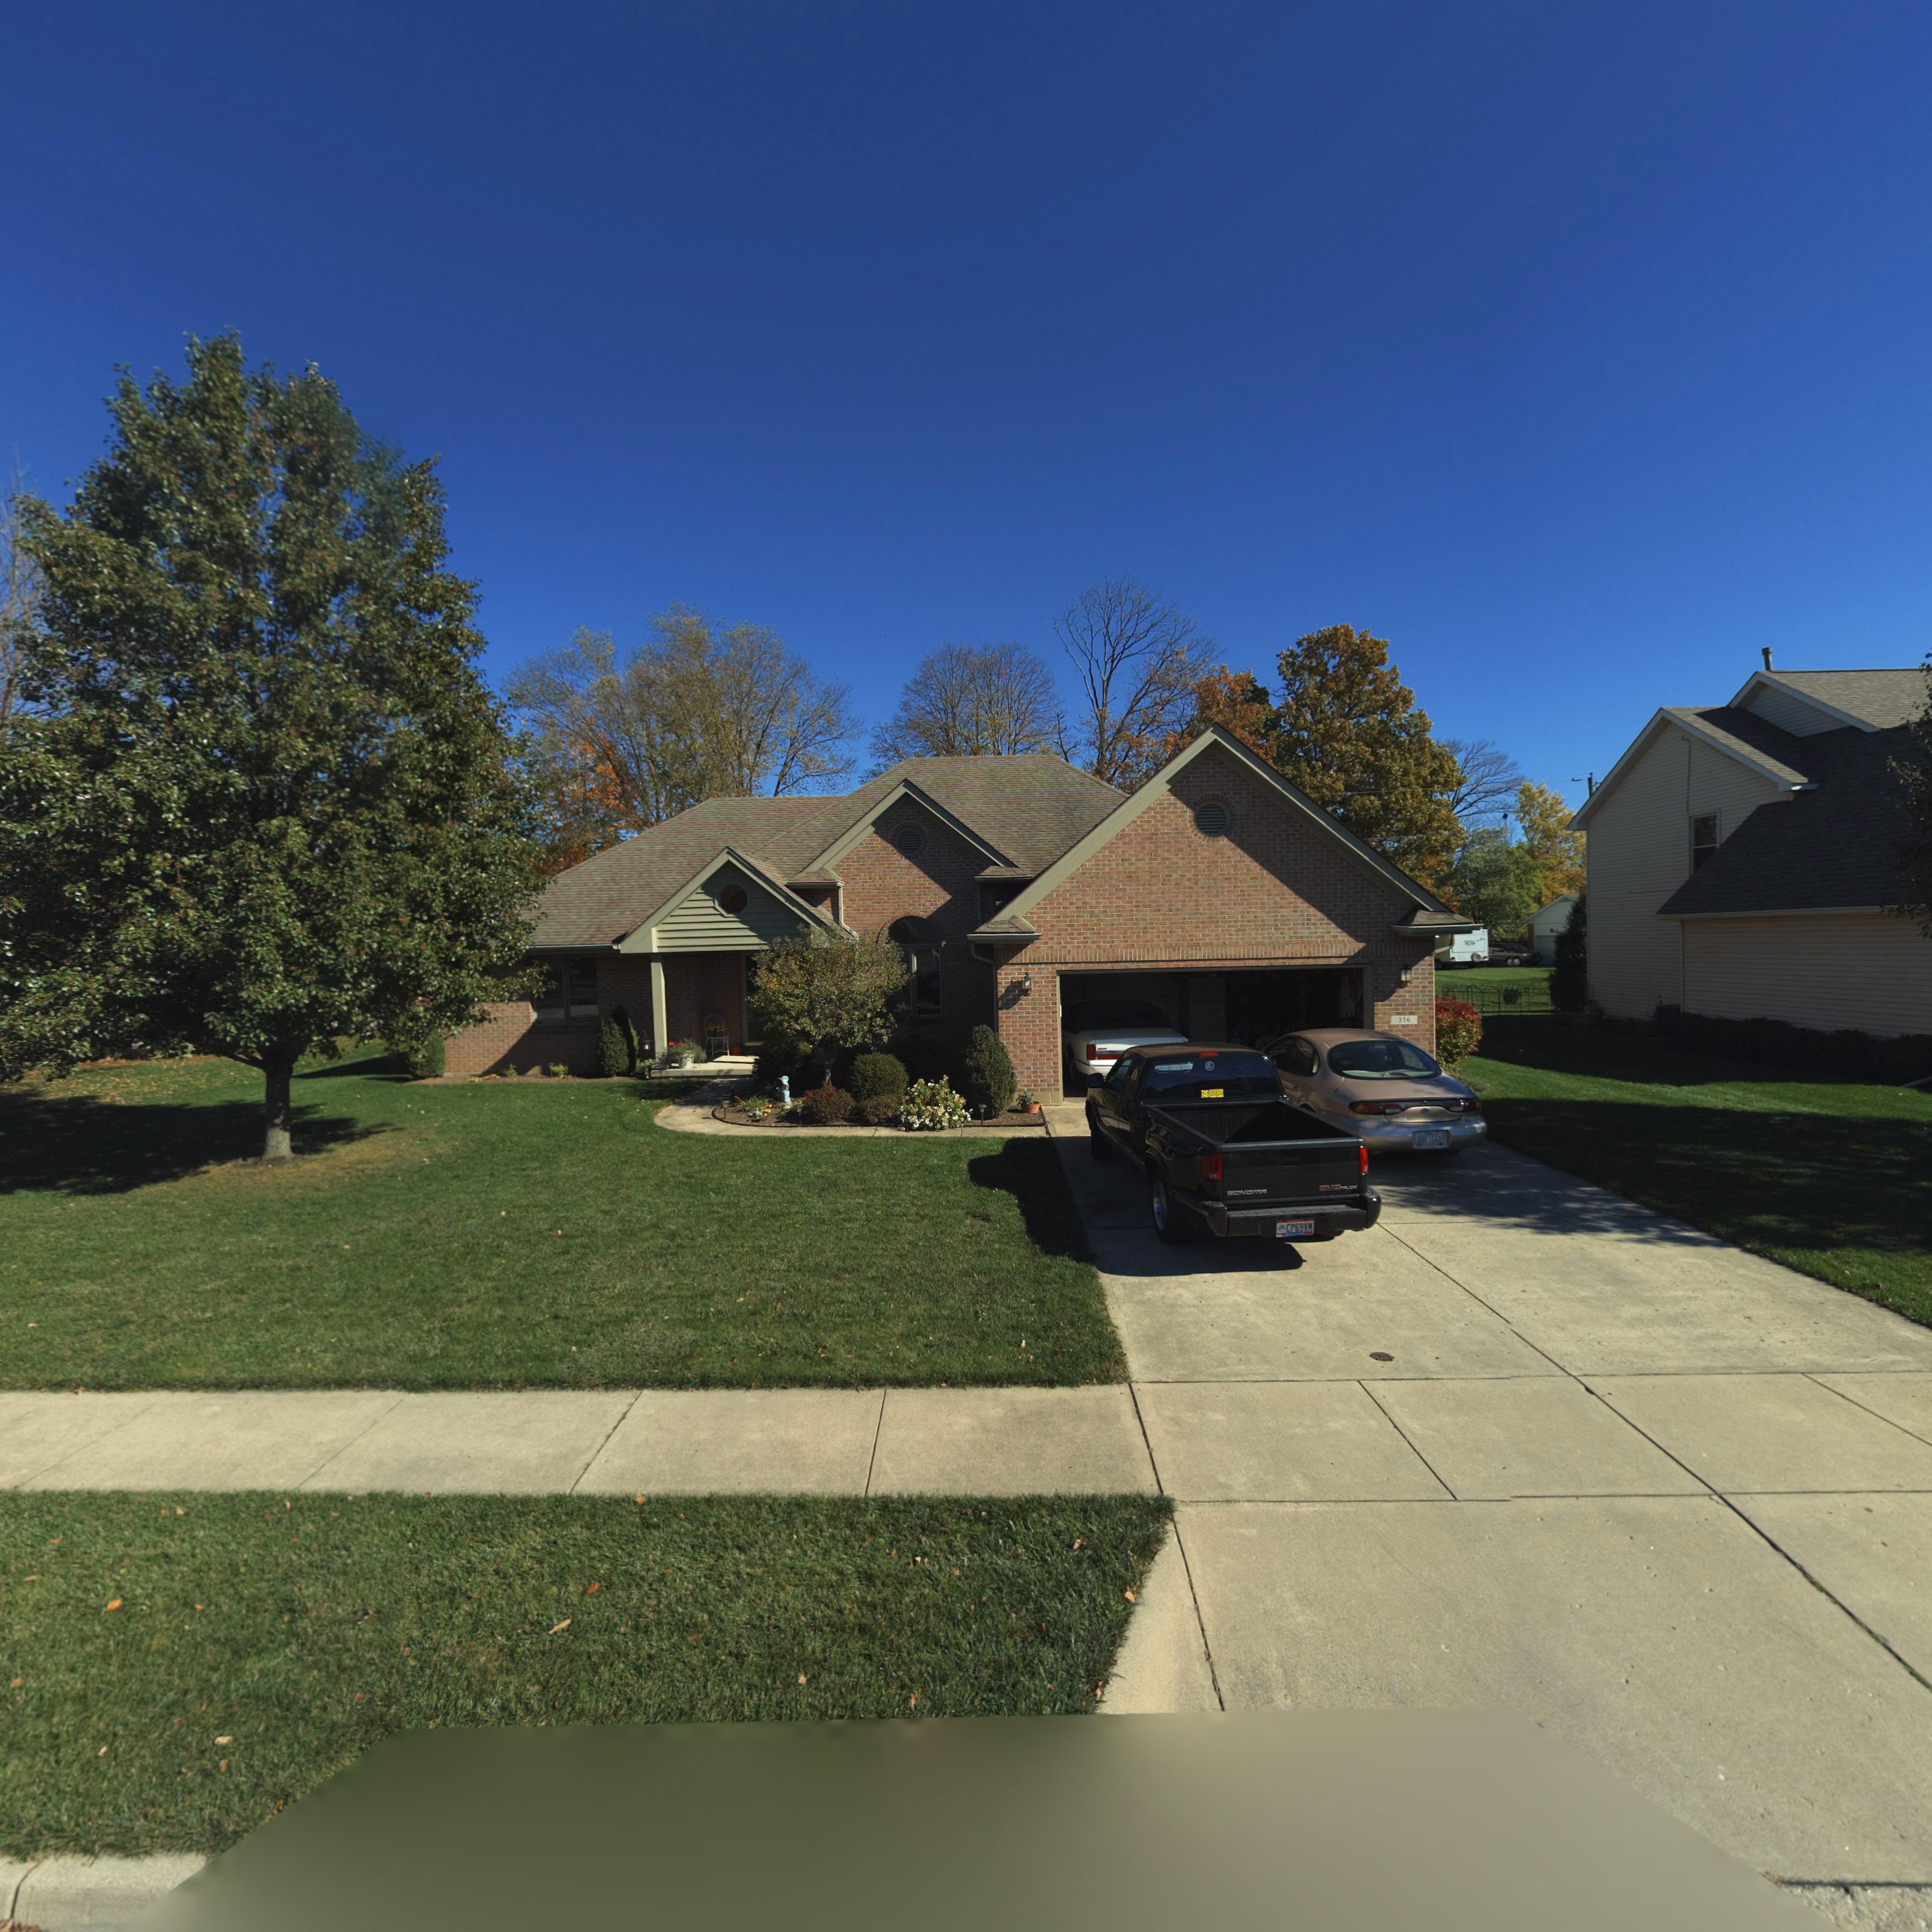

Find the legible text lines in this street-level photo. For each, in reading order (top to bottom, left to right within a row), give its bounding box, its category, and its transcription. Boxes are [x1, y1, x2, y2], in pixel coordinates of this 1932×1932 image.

[1397, 1016, 1412, 1024] StreetNumber: 356